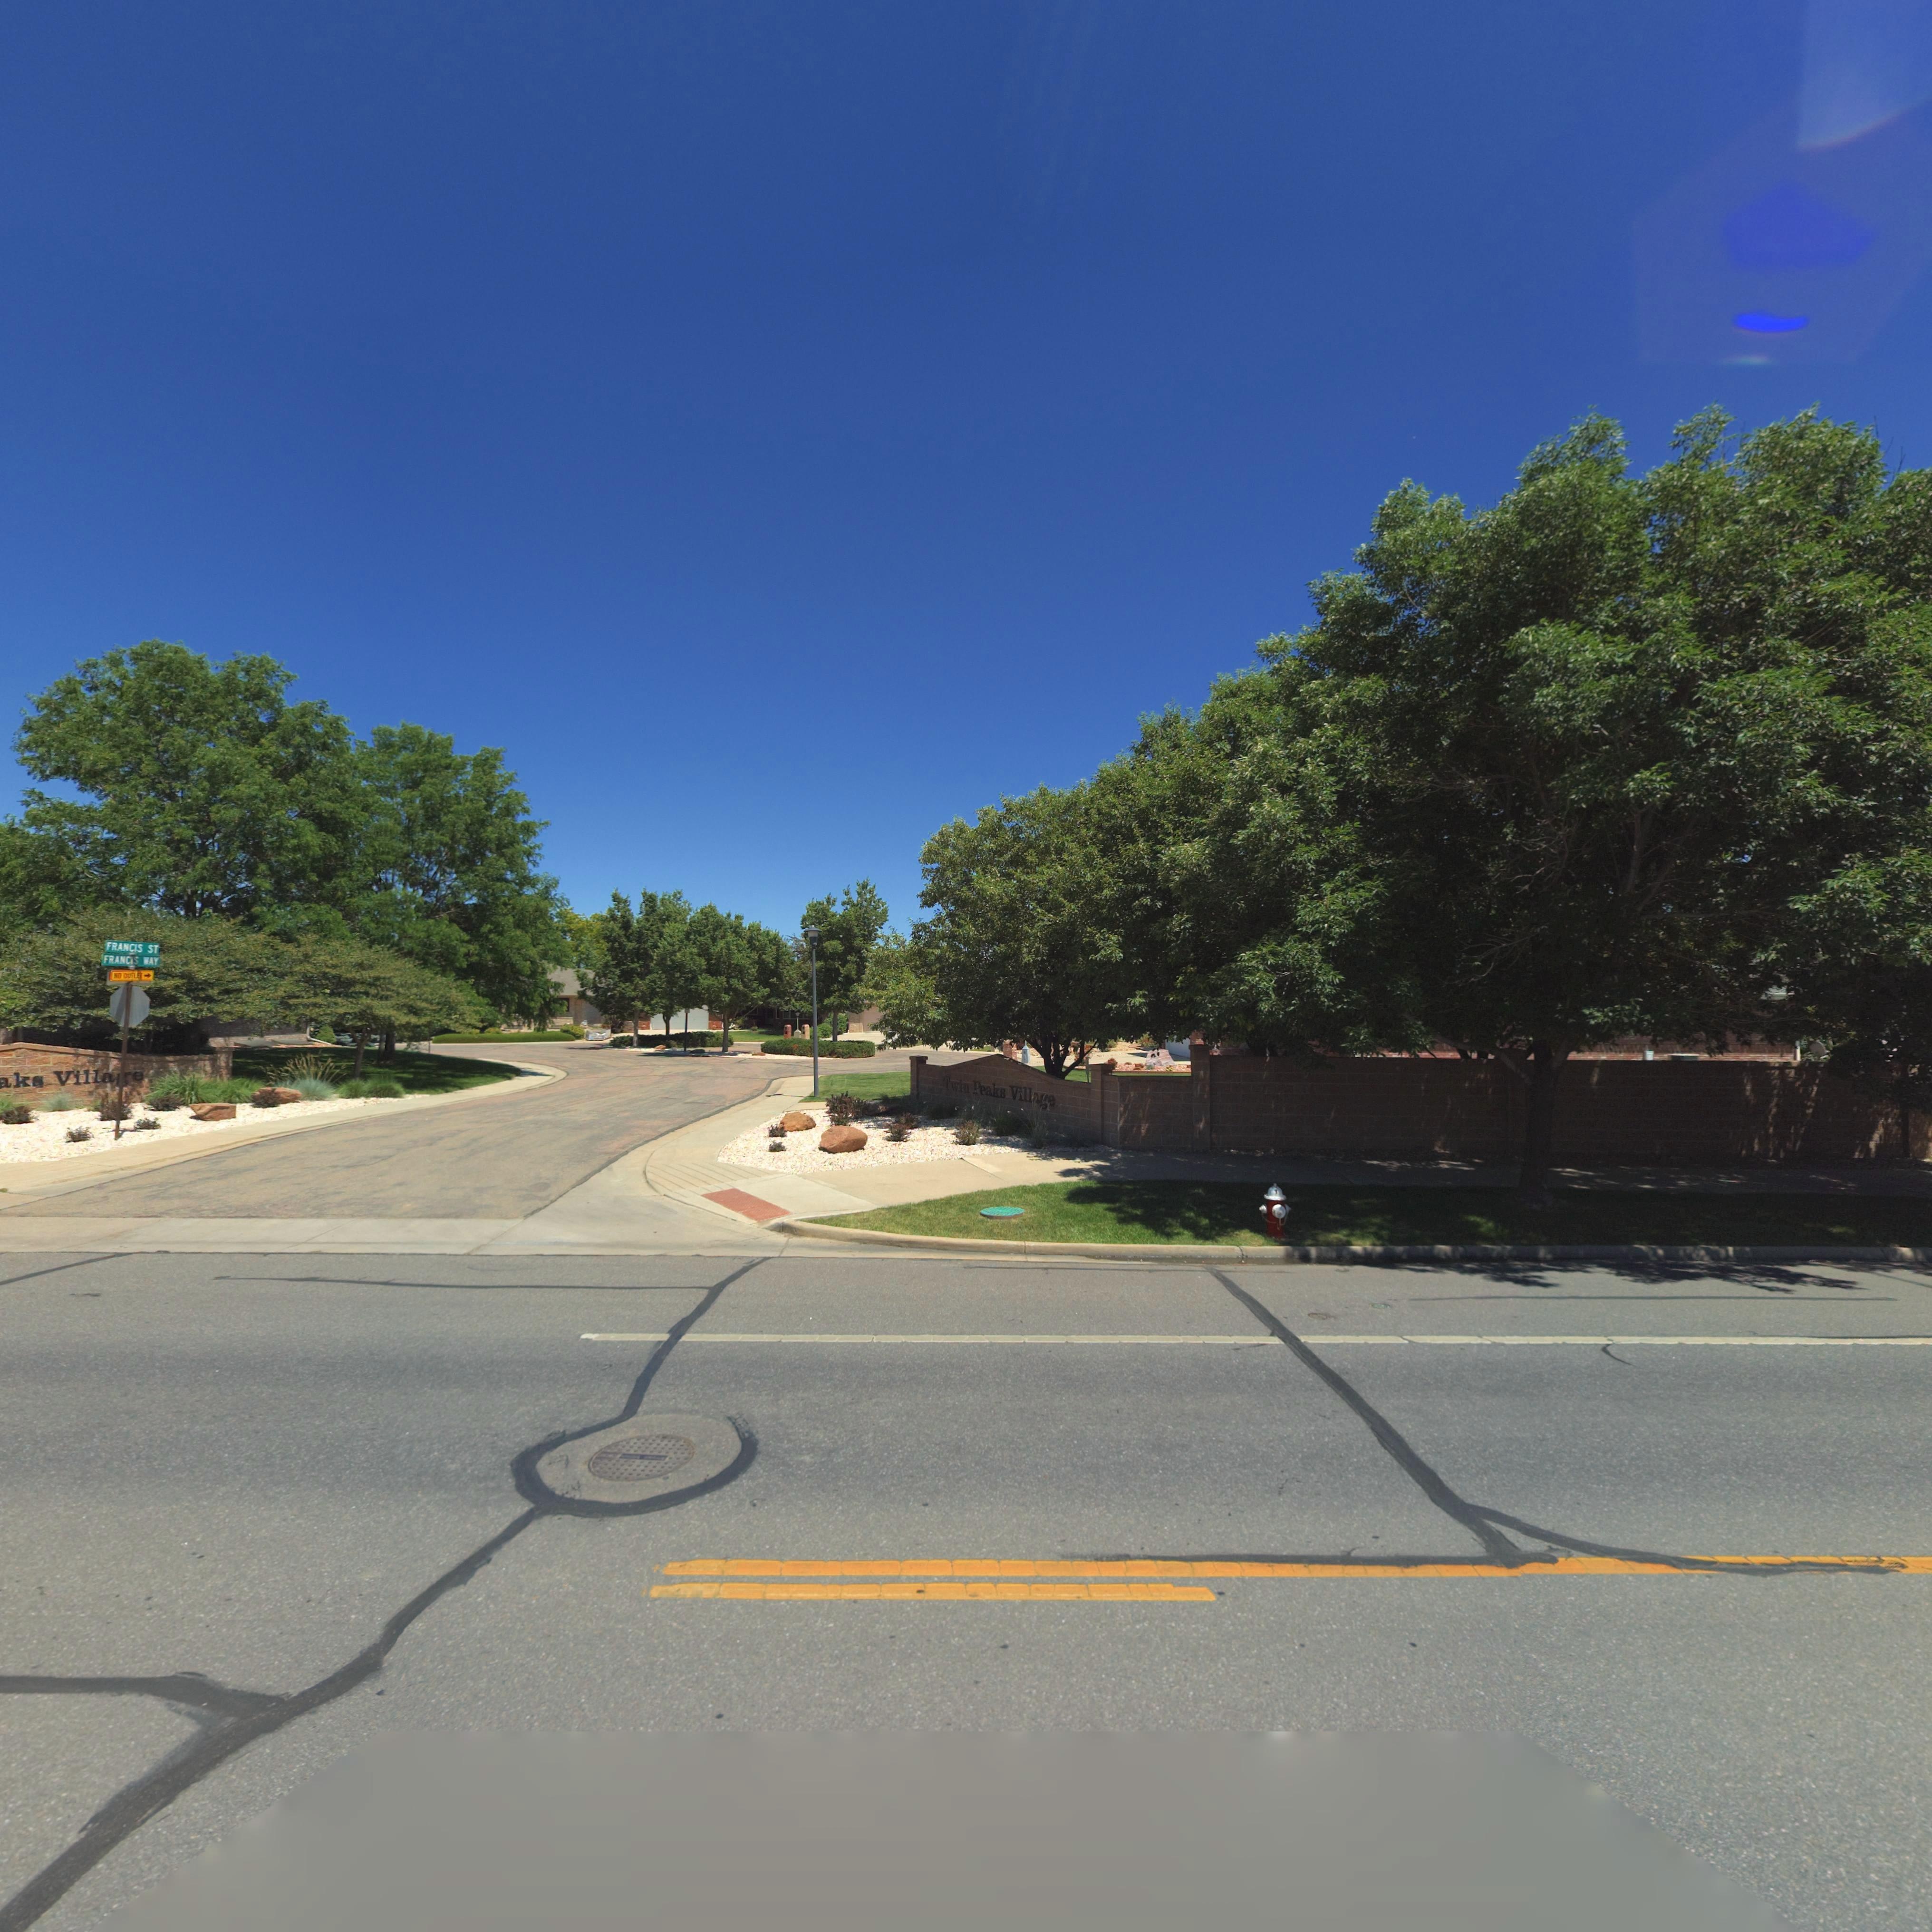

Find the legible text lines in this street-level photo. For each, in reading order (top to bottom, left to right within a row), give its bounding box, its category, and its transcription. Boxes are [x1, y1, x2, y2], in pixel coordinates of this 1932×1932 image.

[106, 941, 159, 954] StreetName: FRANCIS ST
[103, 954, 160, 966] StreetName: FRANCIS WAY
[940, 1075, 1056, 1111] None: x*